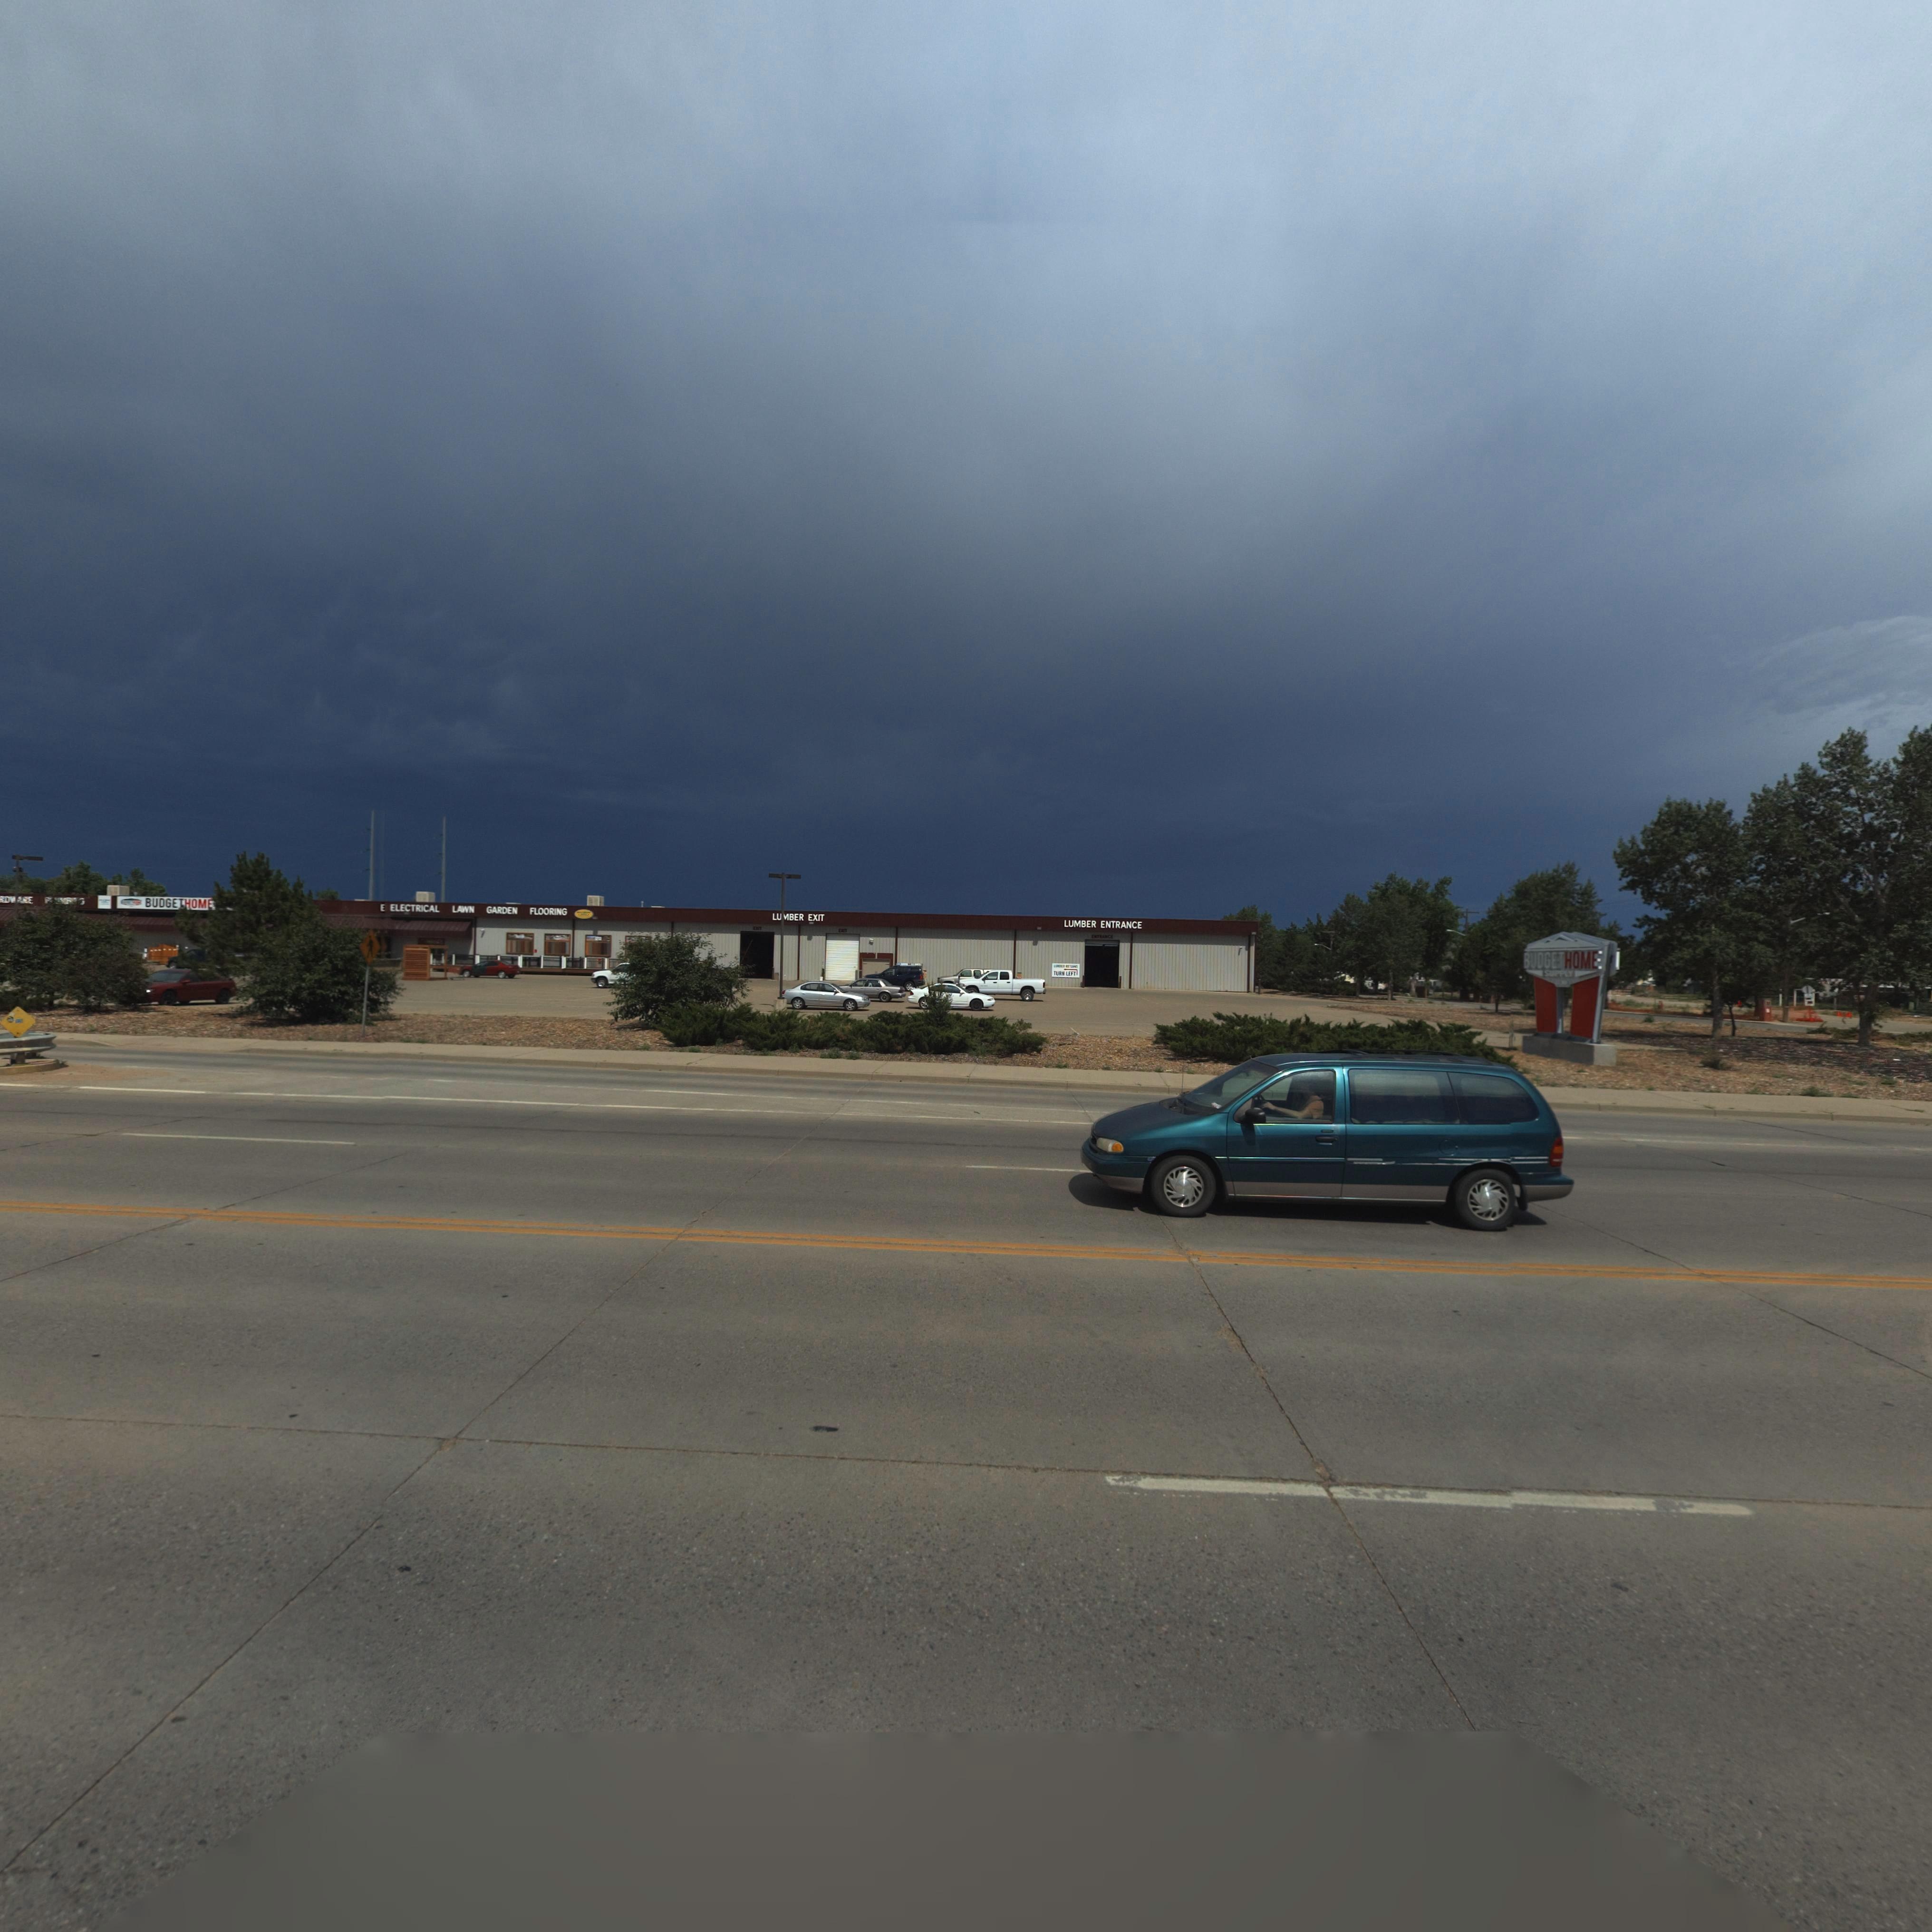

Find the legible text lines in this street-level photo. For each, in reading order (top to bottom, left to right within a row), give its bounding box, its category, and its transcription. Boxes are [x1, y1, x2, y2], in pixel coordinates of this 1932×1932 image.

[145, 898, 213, 909] BusinessName: BUDGETHOME
[1524, 951, 1598, 969] BusinessName: BUDGETHOME
[1543, 969, 1574, 977] BusinessName: SUPPLY